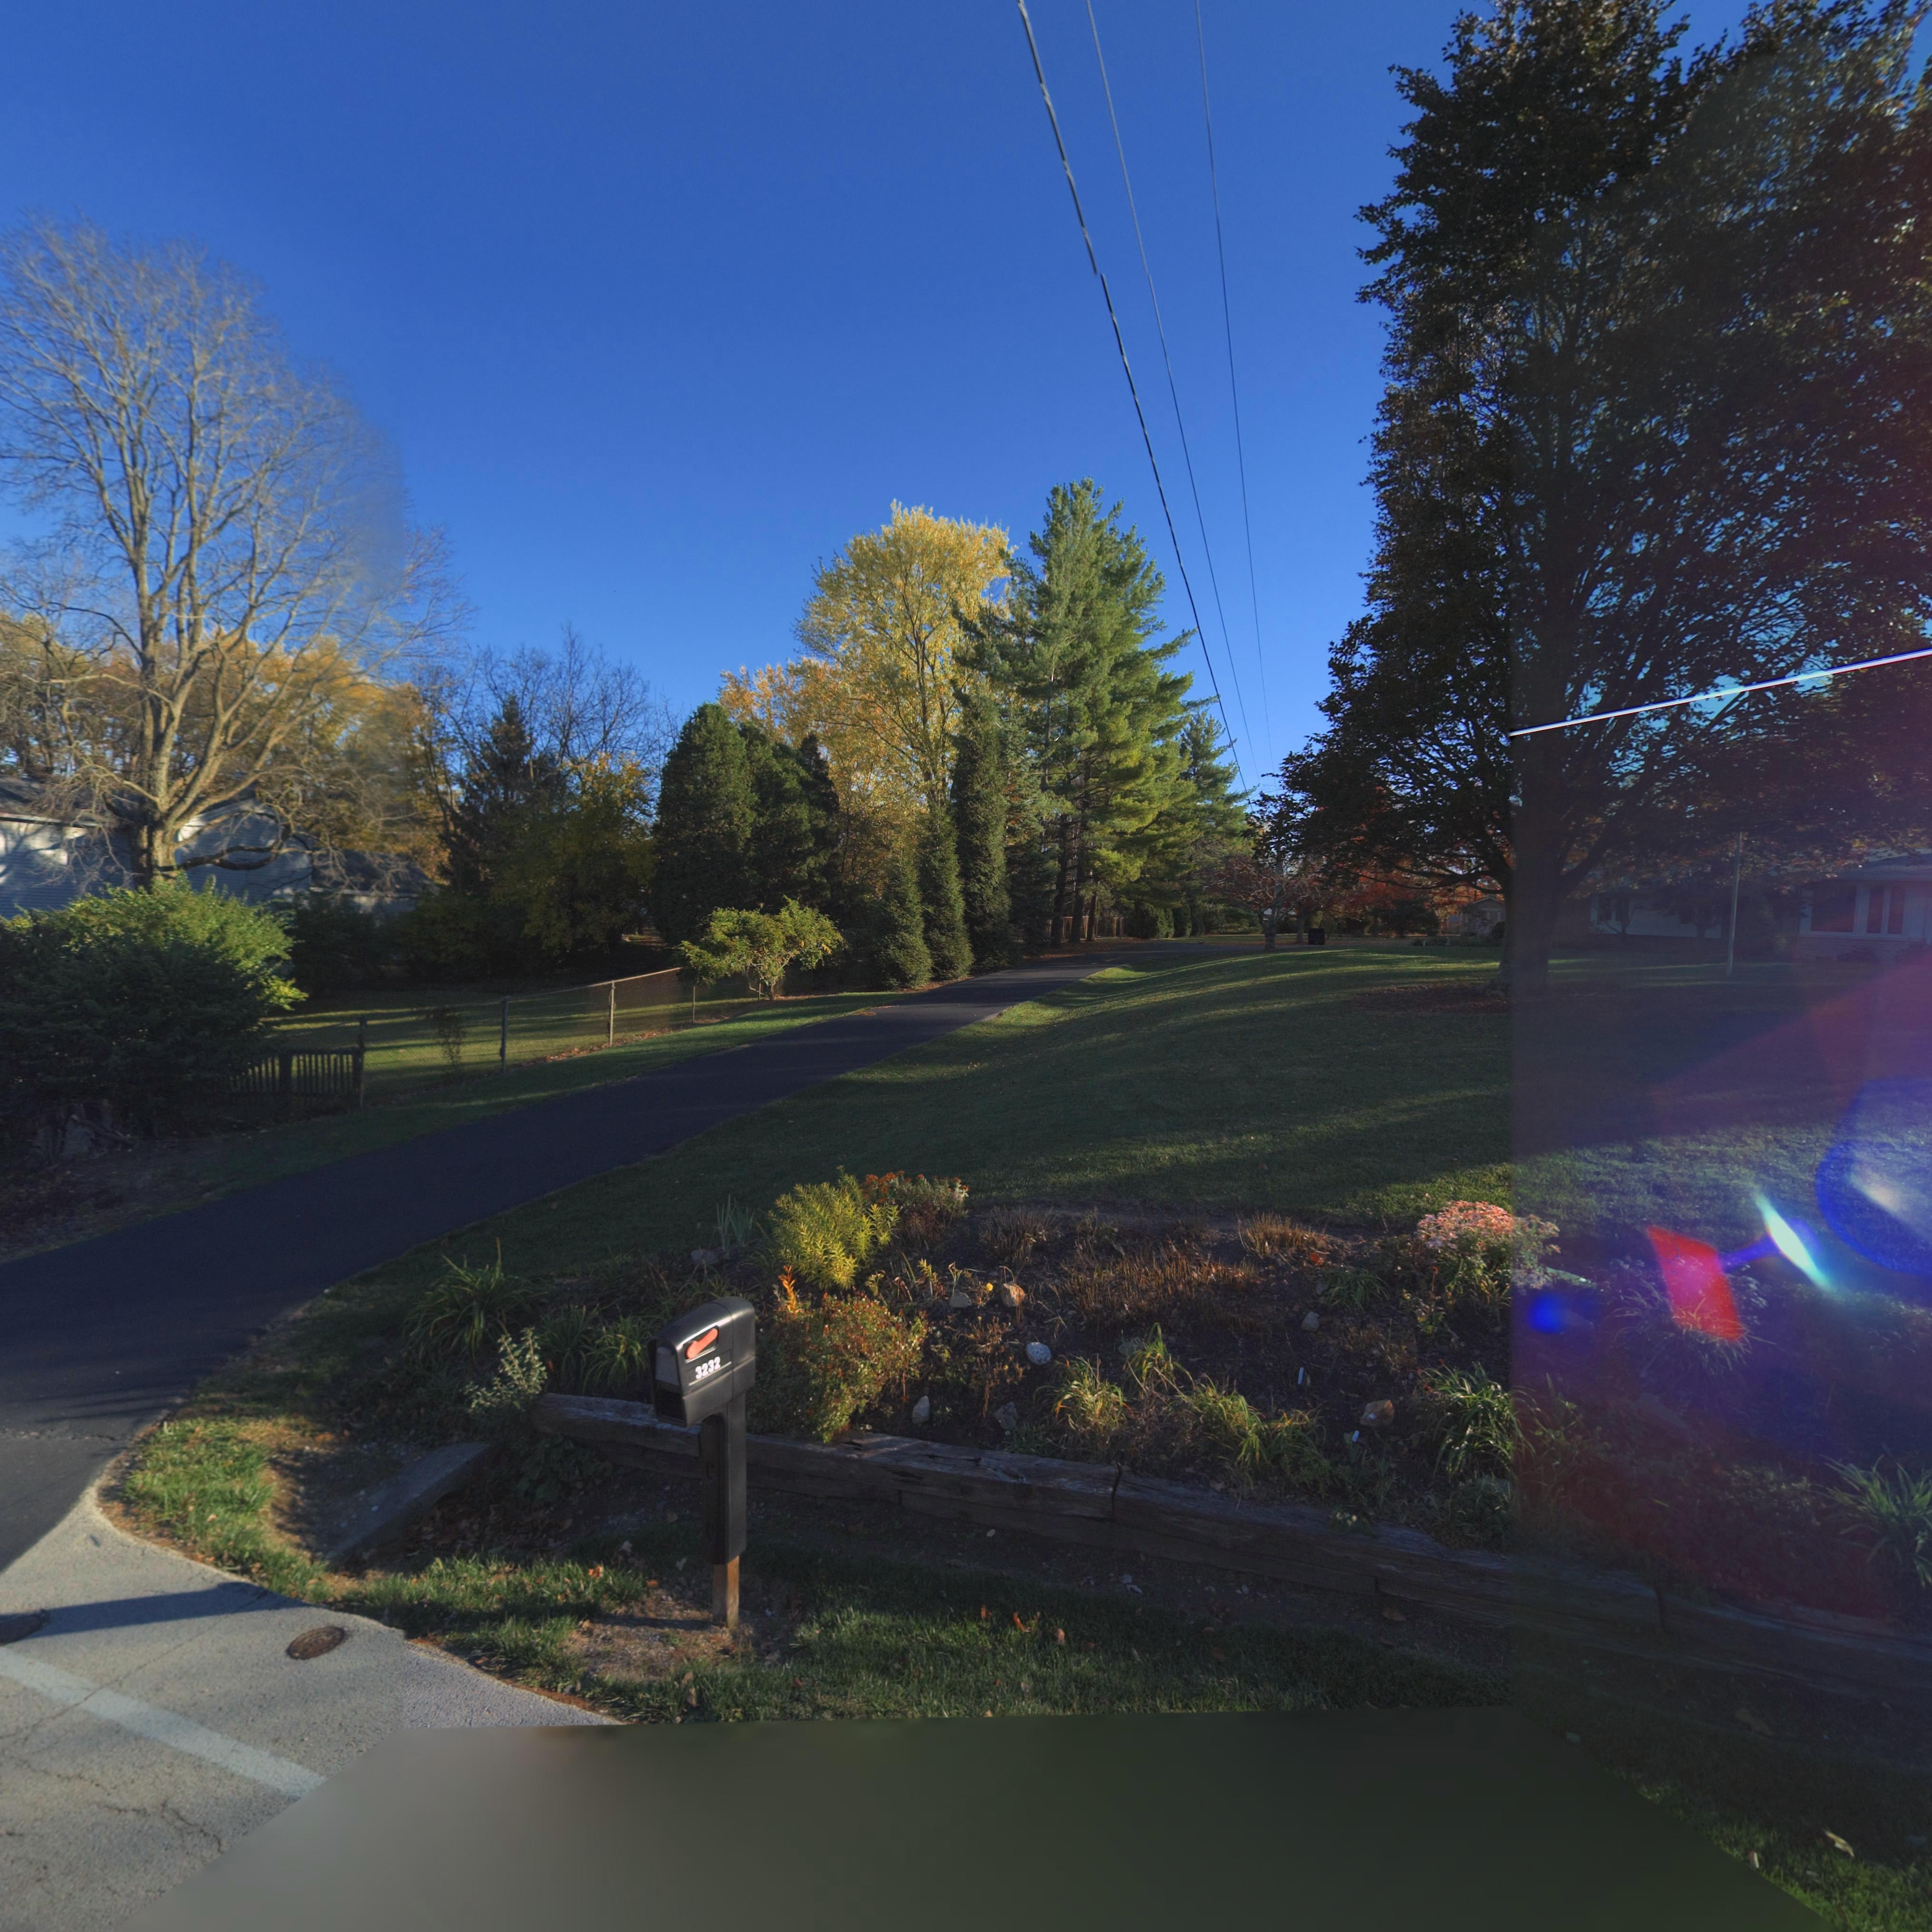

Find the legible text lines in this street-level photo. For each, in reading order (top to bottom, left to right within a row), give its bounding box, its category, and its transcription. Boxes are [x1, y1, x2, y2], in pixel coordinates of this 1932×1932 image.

[695, 1354, 722, 1381] StreetNumber: 3232